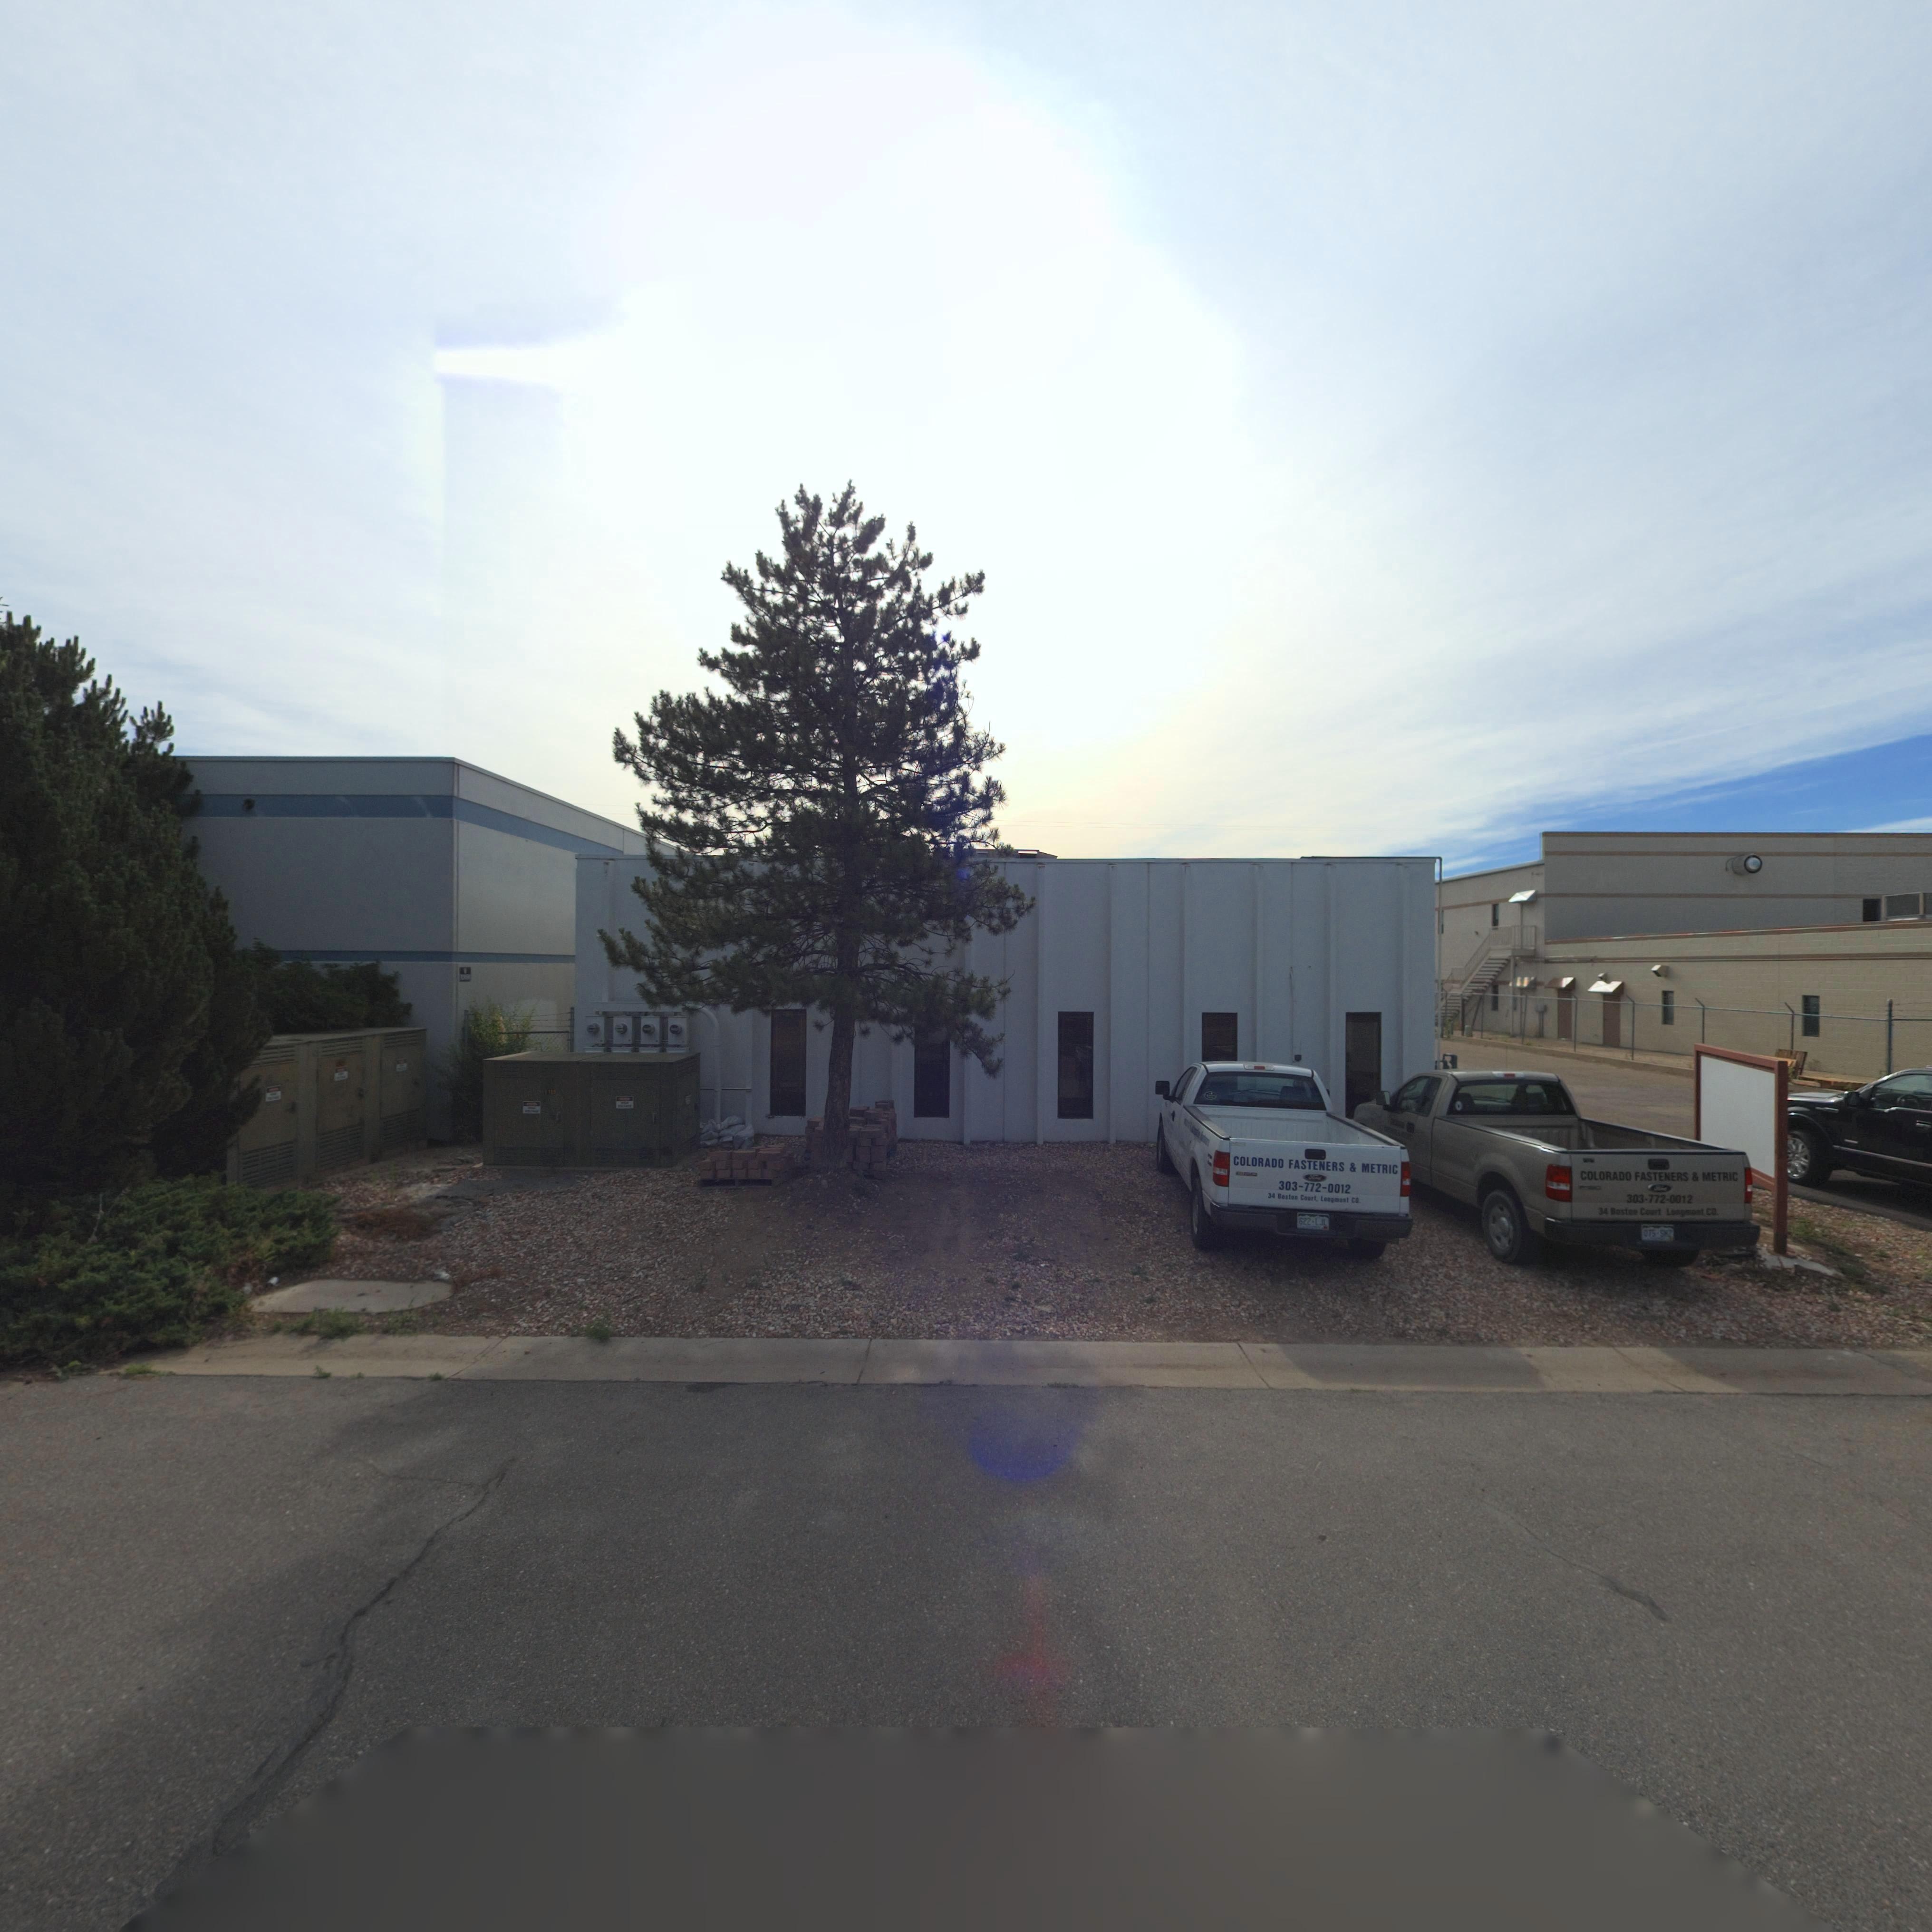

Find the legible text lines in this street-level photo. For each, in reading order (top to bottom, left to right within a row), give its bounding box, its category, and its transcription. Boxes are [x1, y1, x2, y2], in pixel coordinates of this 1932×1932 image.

[544, 1088, 557, 1095] StreetNumber: 5199